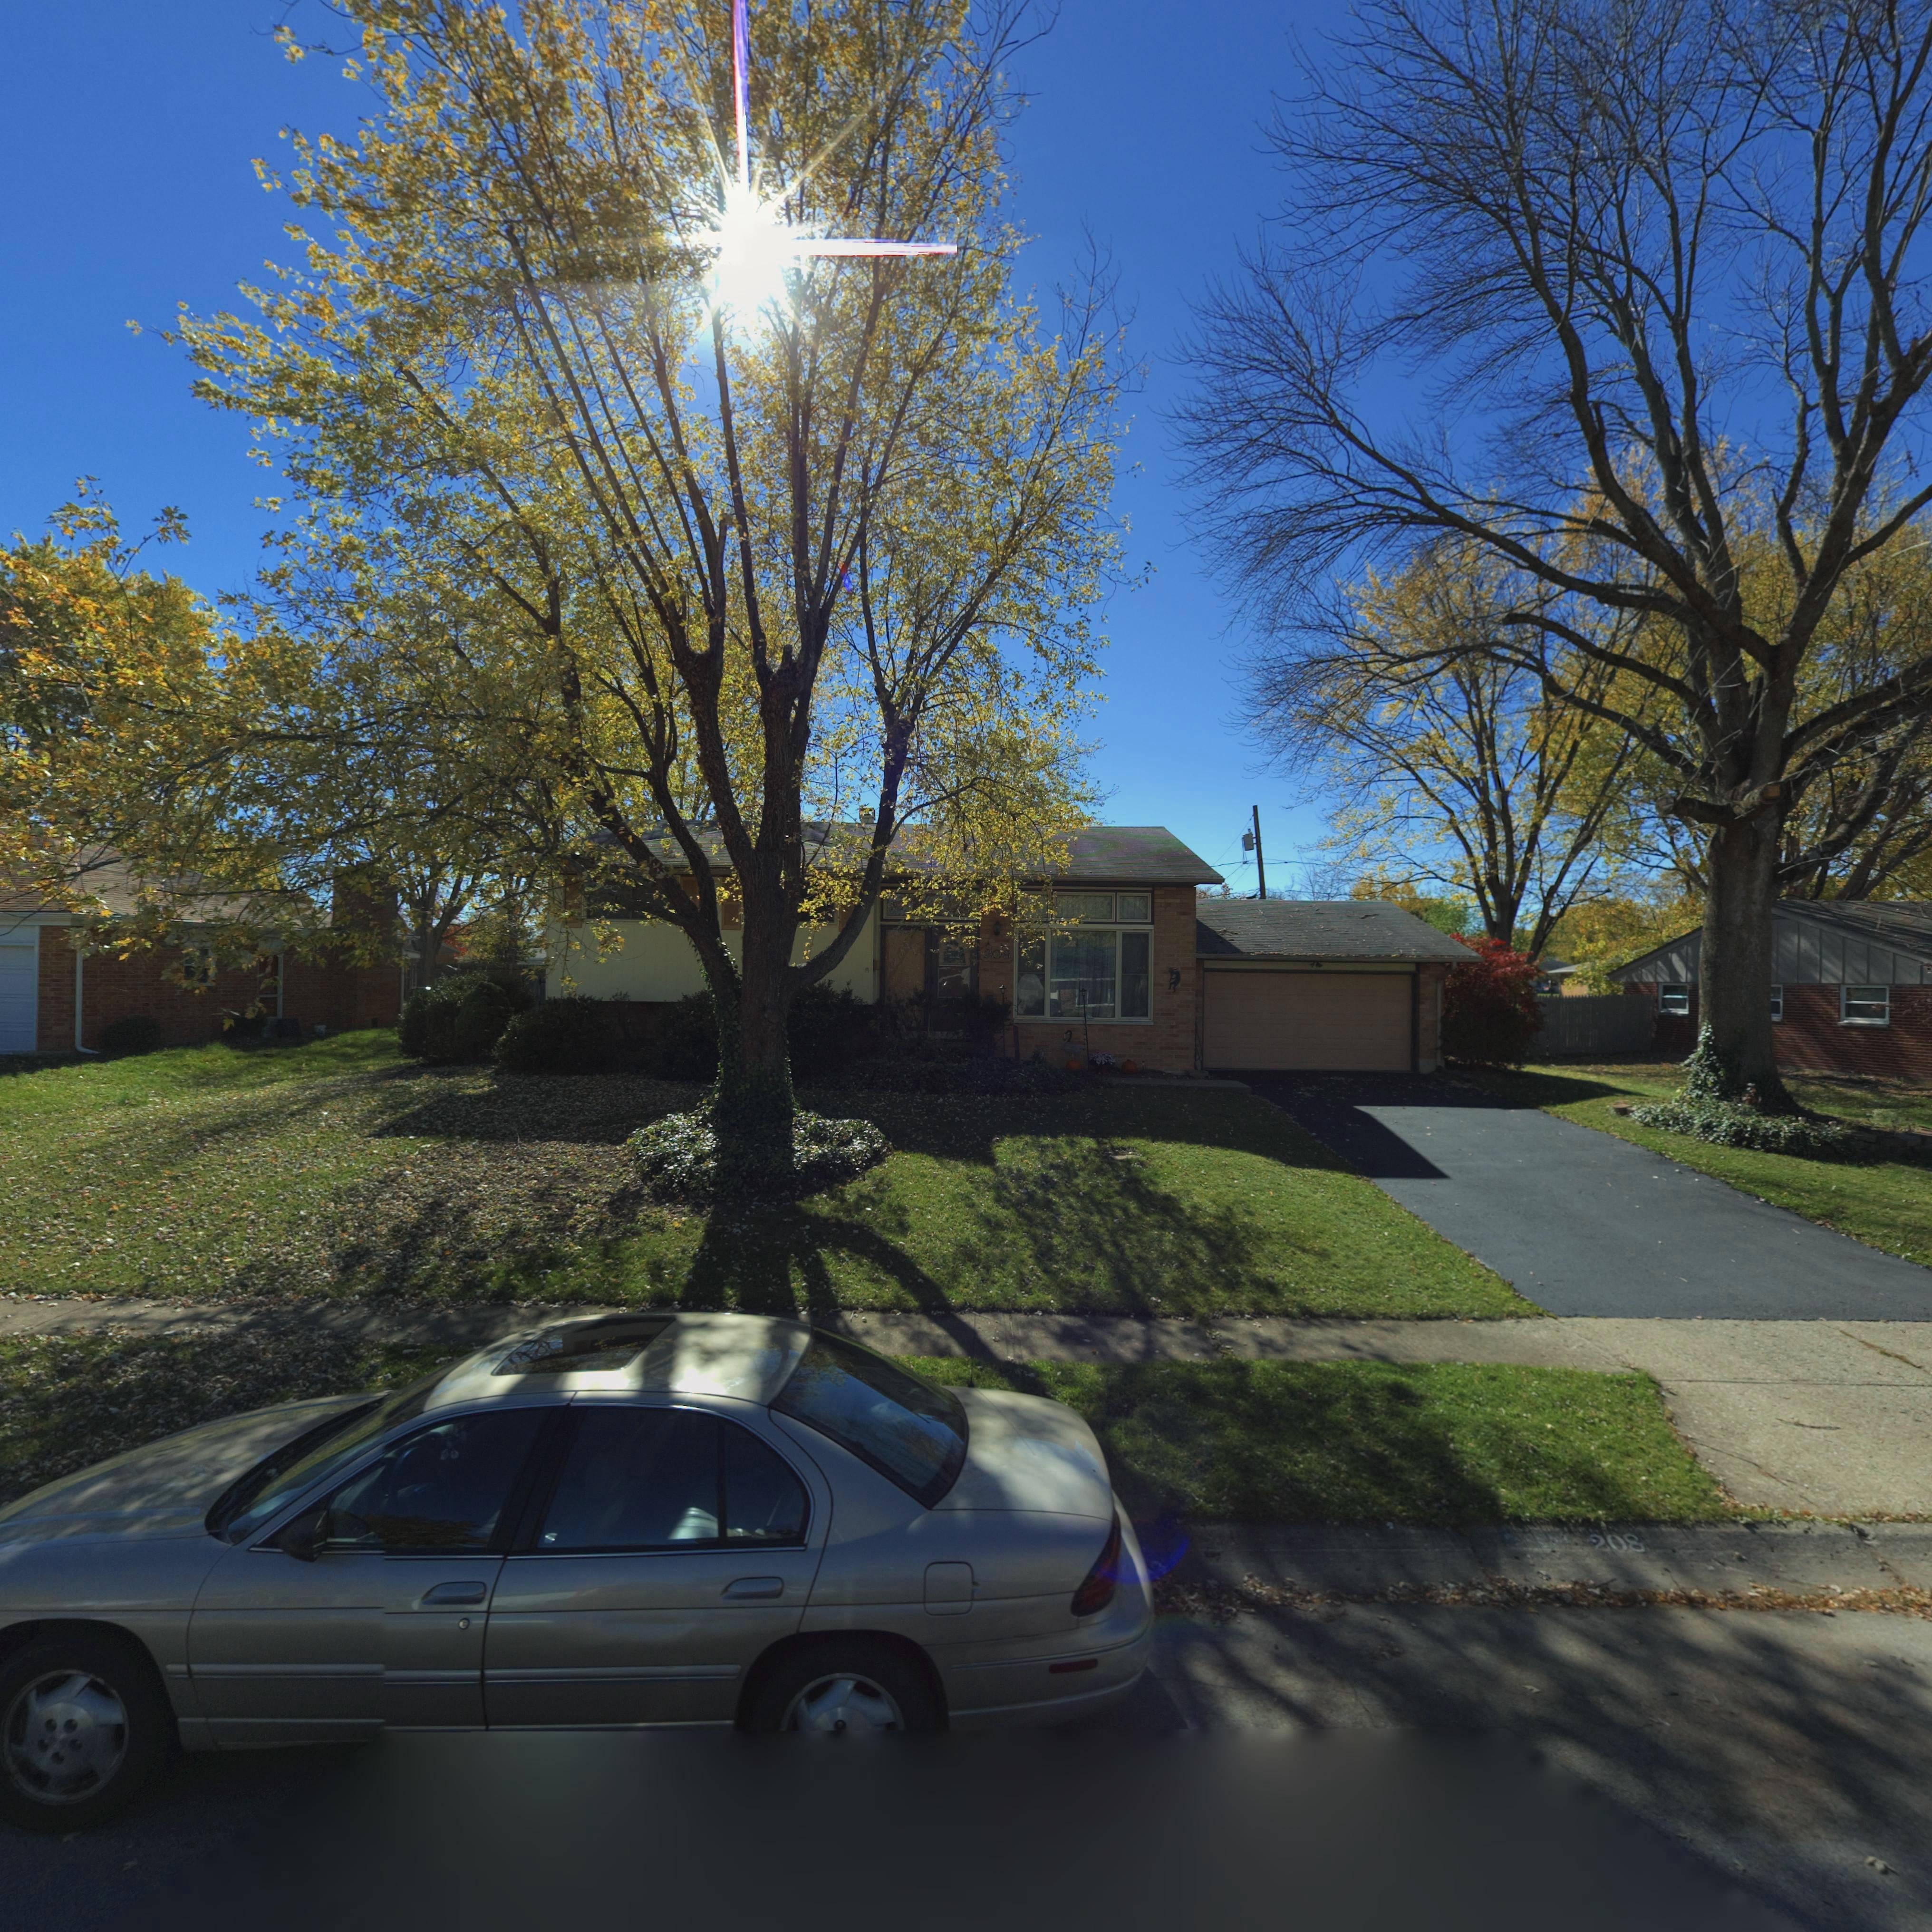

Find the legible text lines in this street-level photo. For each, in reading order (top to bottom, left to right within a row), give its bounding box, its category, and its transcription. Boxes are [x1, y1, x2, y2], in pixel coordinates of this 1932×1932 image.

[983, 947, 1012, 961] StreetNumber: **8
[1586, 1532, 1650, 1554] StreetNumber: 208